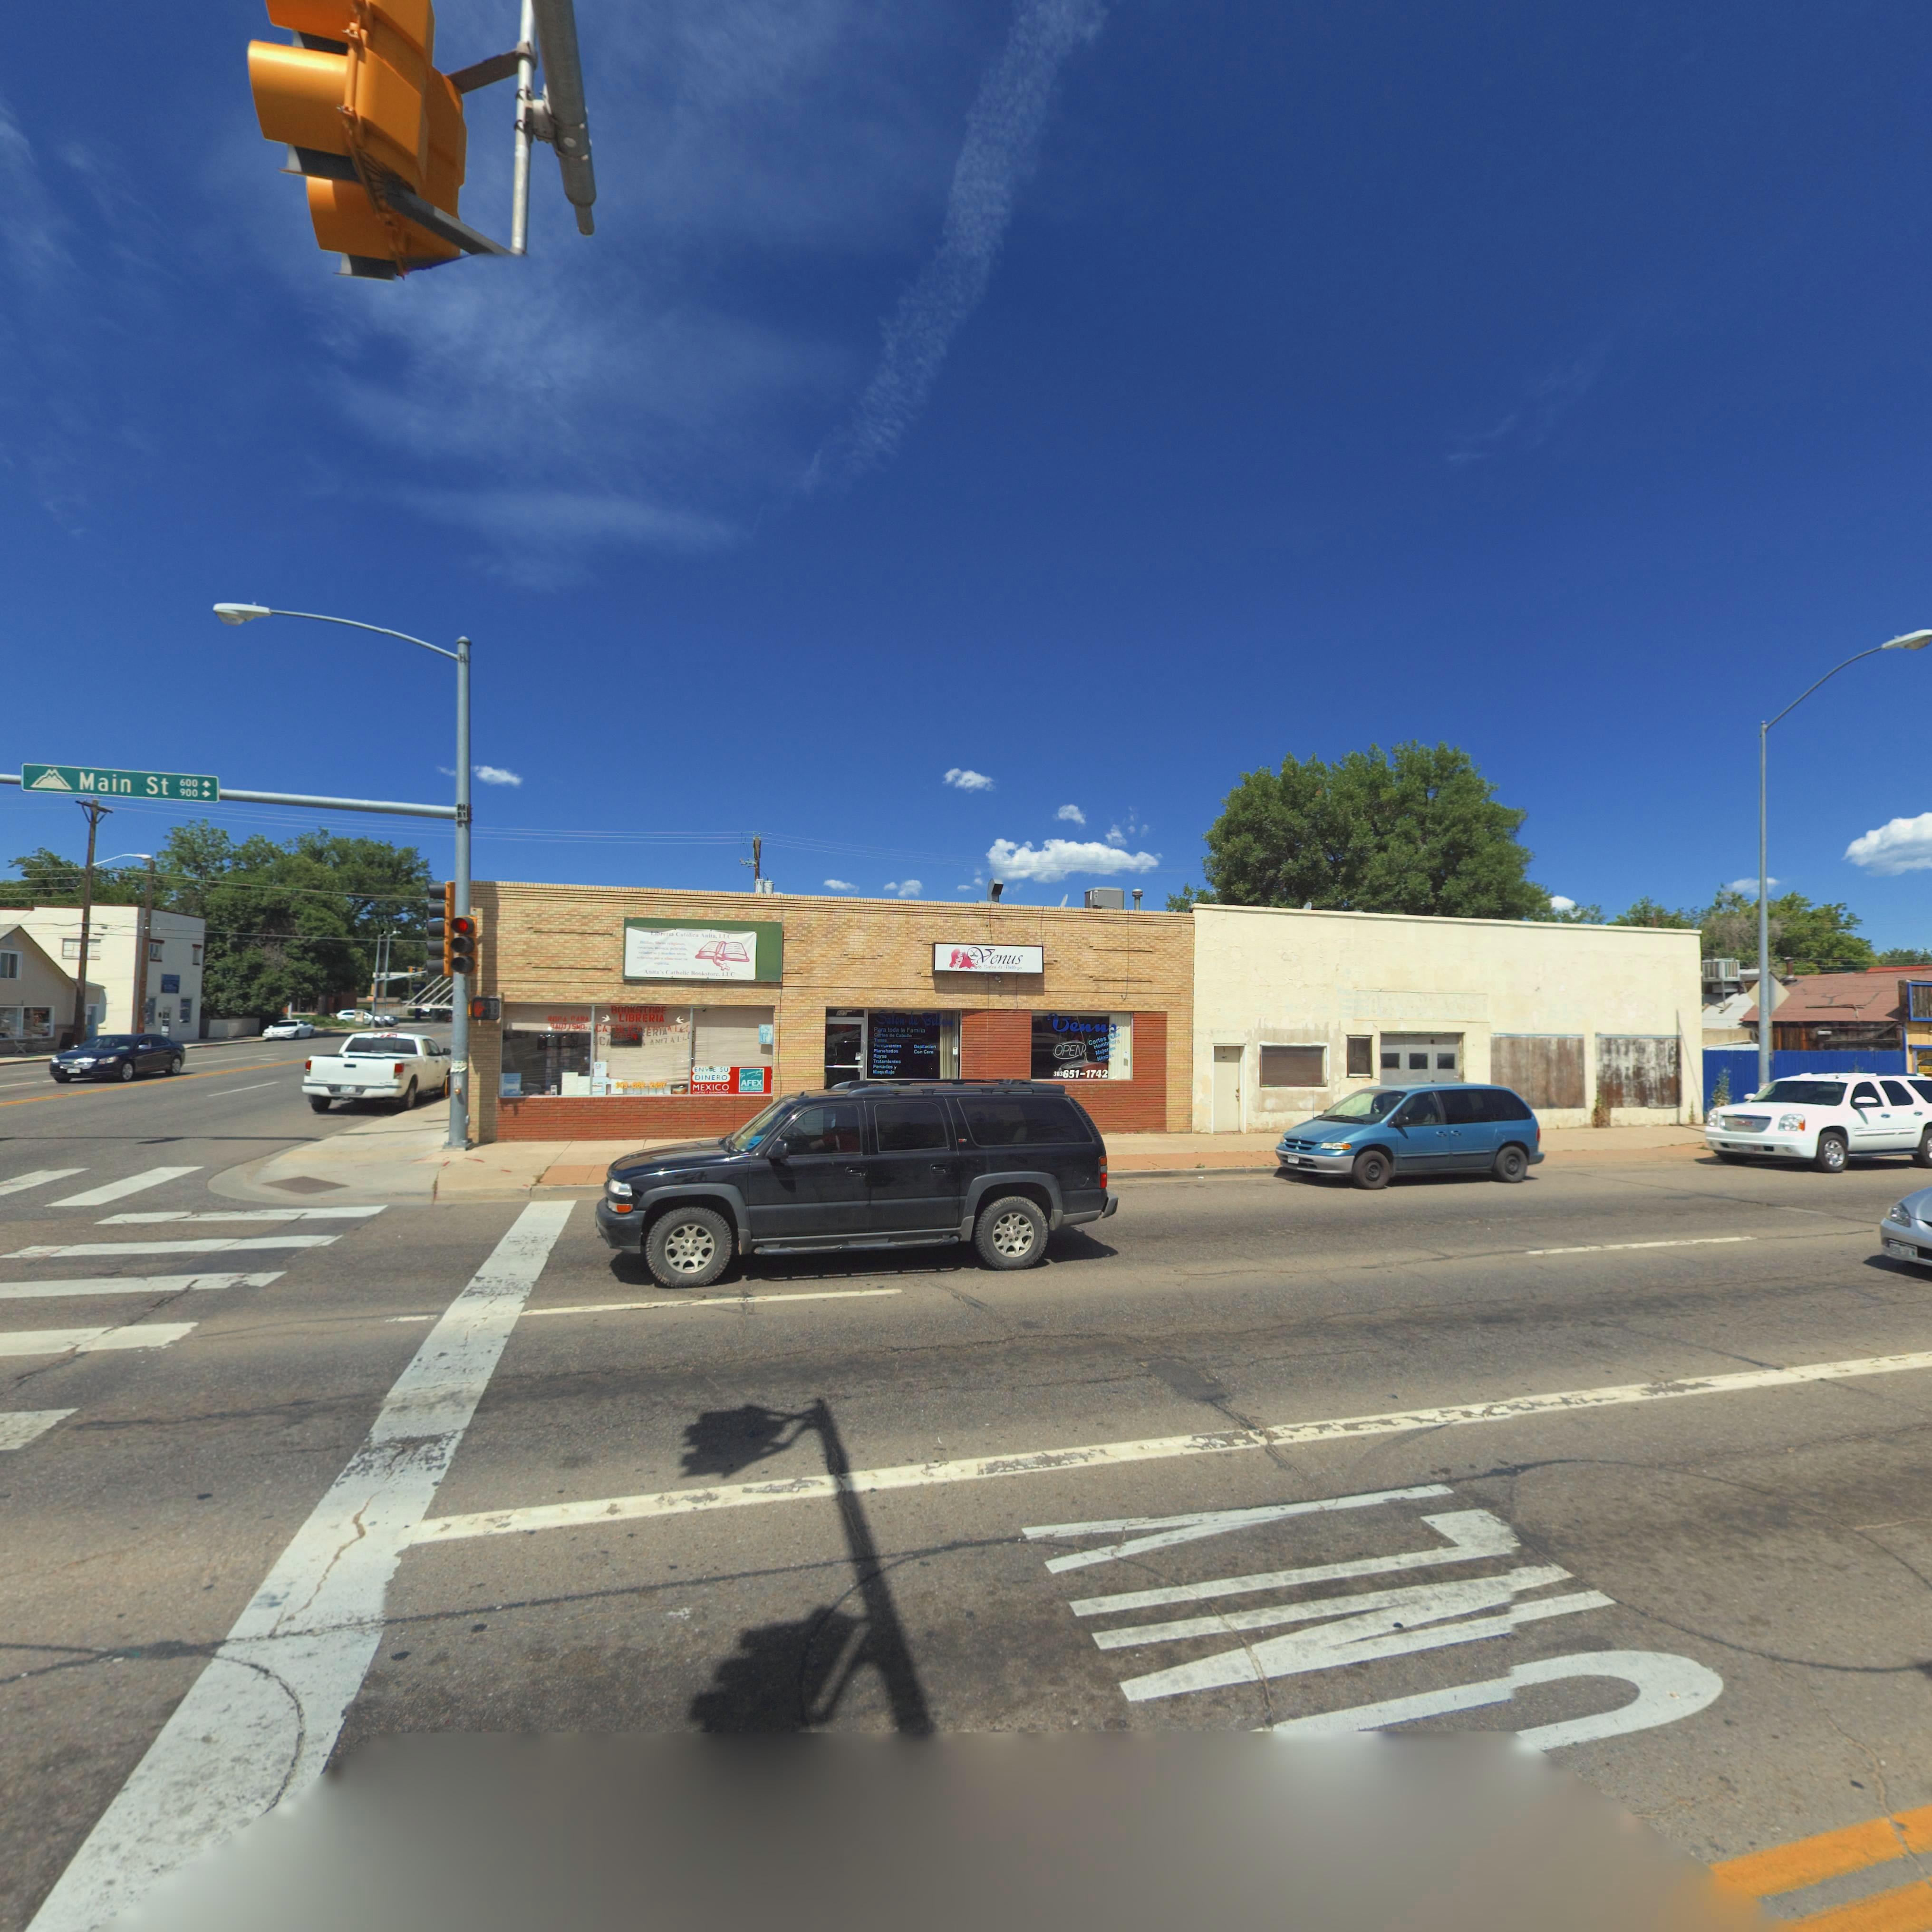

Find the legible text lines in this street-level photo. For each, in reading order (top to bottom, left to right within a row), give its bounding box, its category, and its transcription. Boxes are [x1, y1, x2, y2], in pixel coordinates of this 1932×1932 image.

[78, 771, 170, 796] StreetName: Main St
[179, 778, 198, 787] StreetNumberRange: 600
[179, 787, 212, 798] StreetNumberRange: 900->
[650, 930, 732, 939] BusinessName: L******* C***lica Ani*a LLC
[975, 947, 1024, 964] BusinessName: Venus
[642, 969, 735, 976] BusinessName: A****'s Ca*h*li* Book**or* LLC
[610, 1005, 667, 1014] BusinessName: BOOKSTORE
[618, 1014, 665, 1023] BusinessName: LIBRERIA
[1046, 1013, 1121, 1033] BusinessName: Venus
[595, 1024, 643, 1033] BusinessName: CATOLICA